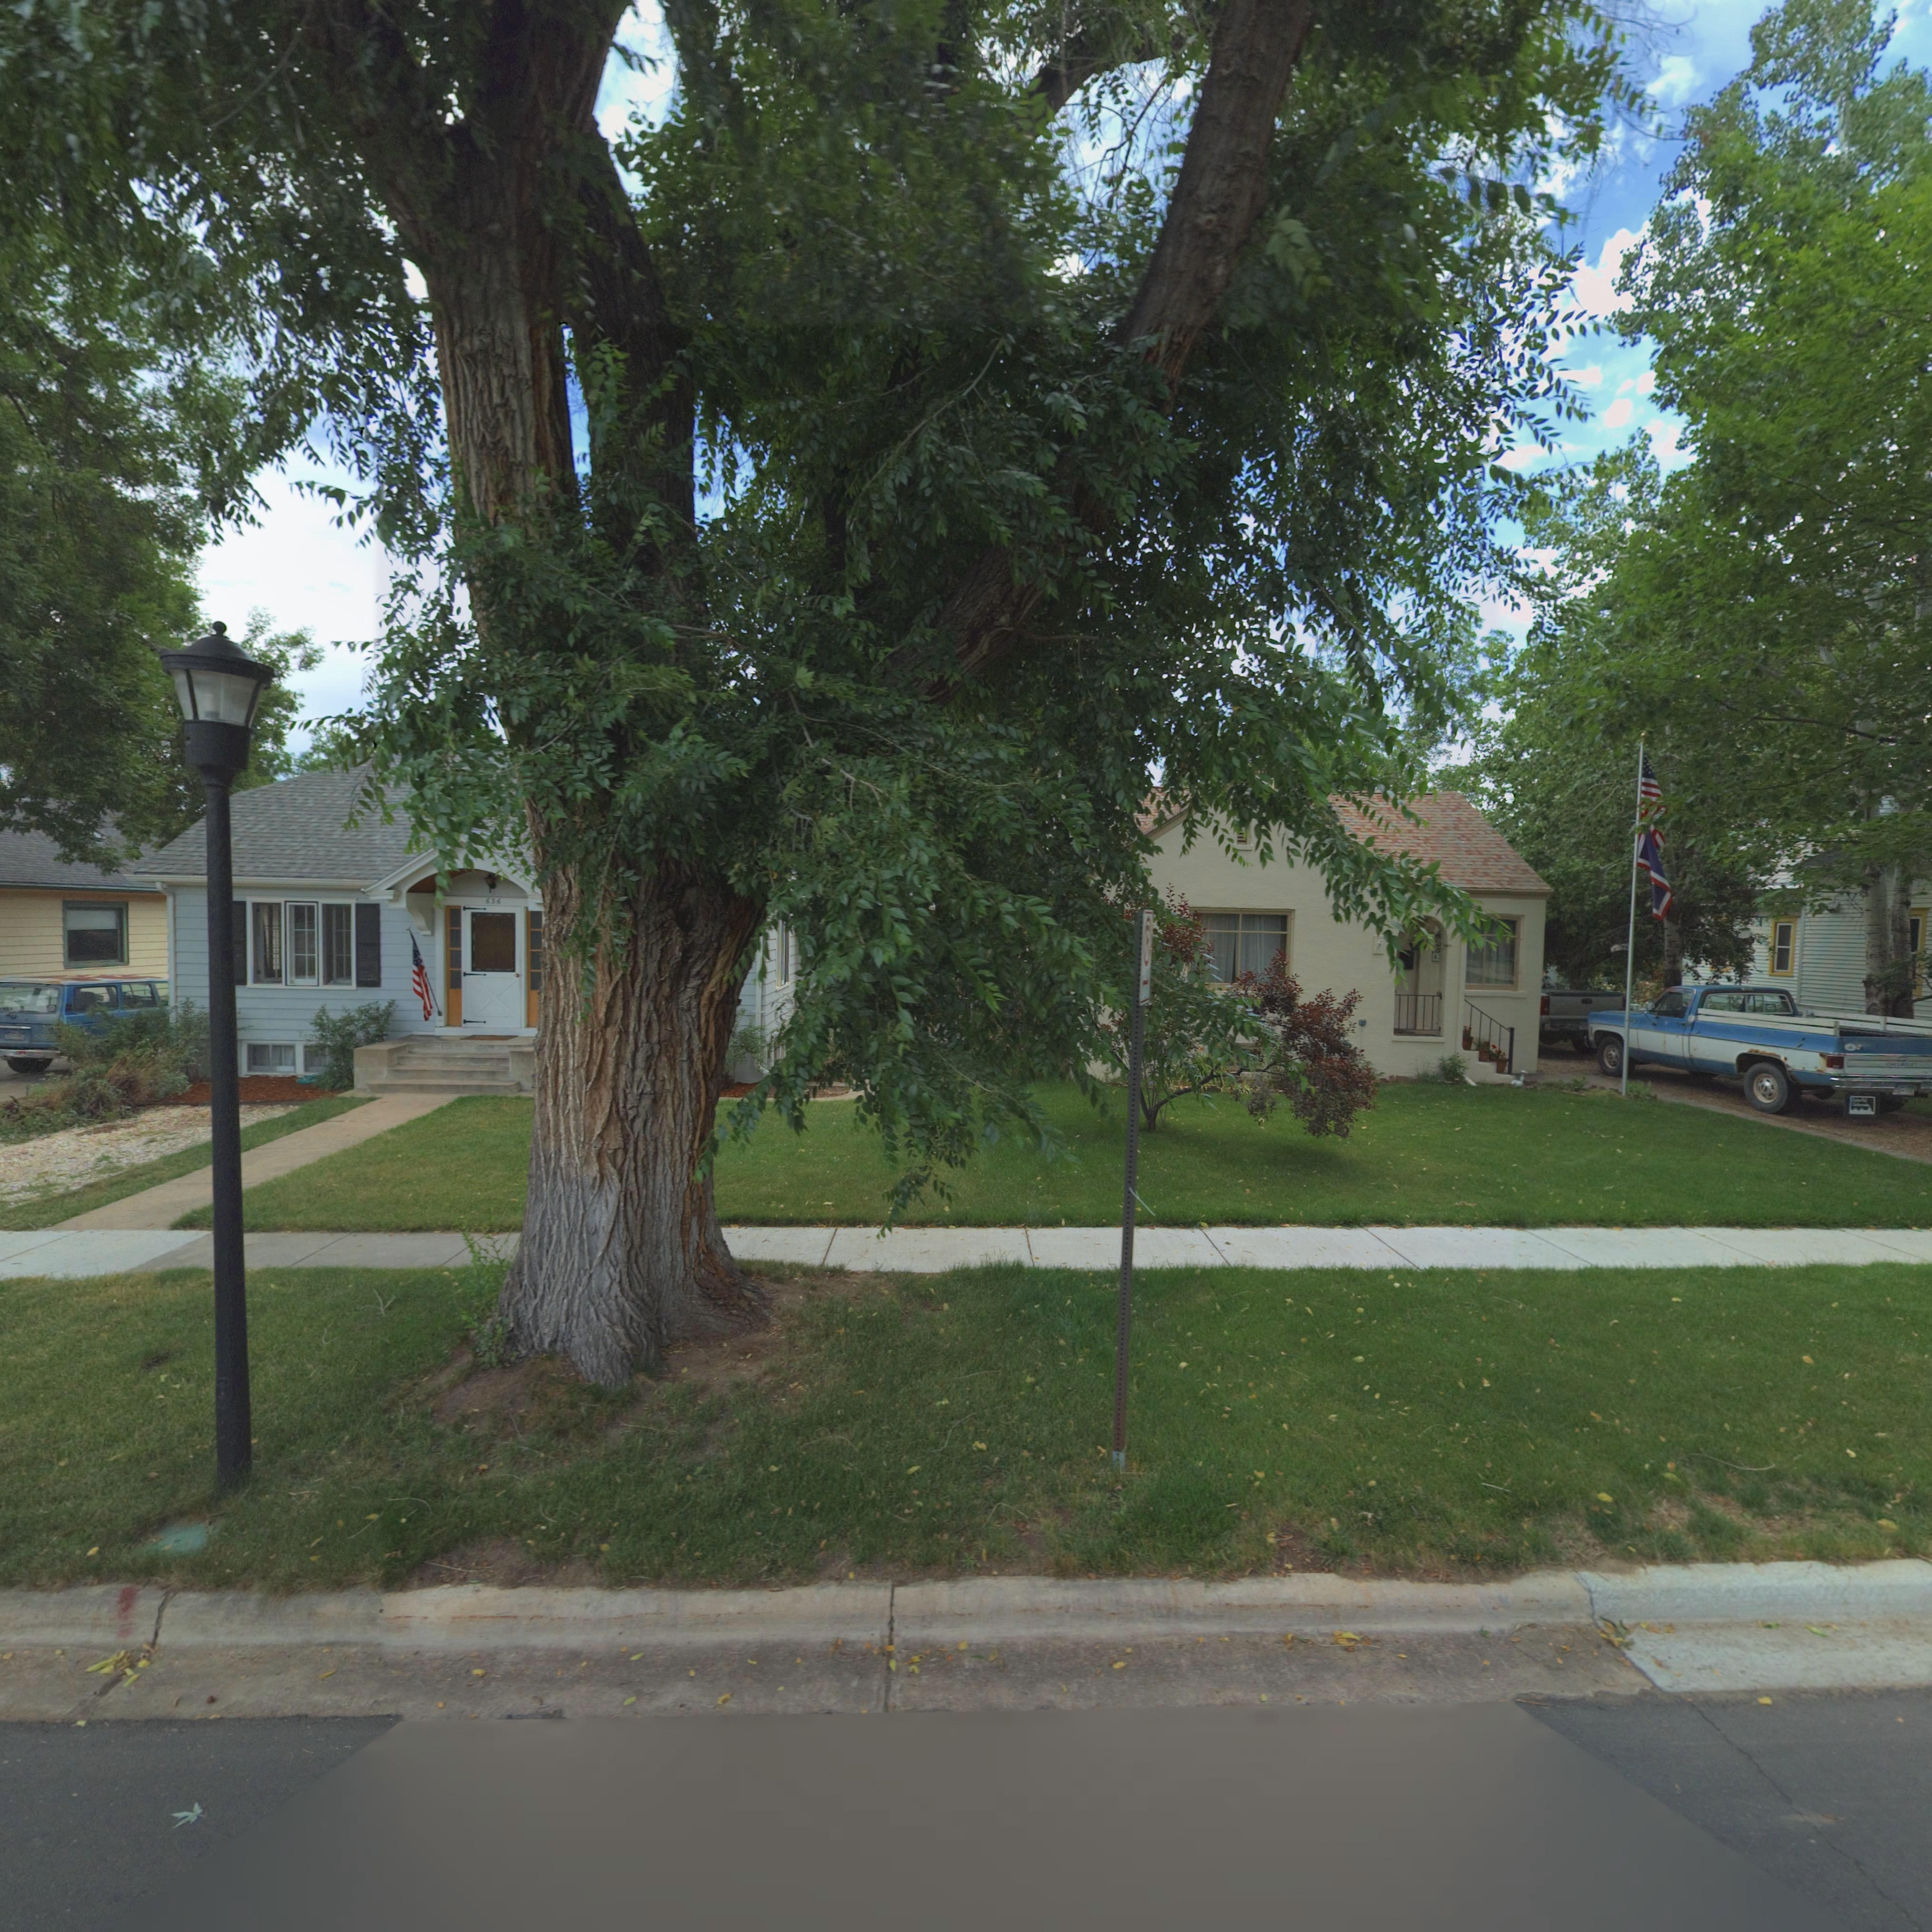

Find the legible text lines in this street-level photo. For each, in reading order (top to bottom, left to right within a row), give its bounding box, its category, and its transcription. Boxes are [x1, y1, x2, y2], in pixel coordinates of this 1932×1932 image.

[485, 898, 501, 905] StreetNumber: 636
[1433, 954, 1437, 959] StreetNumber: 6